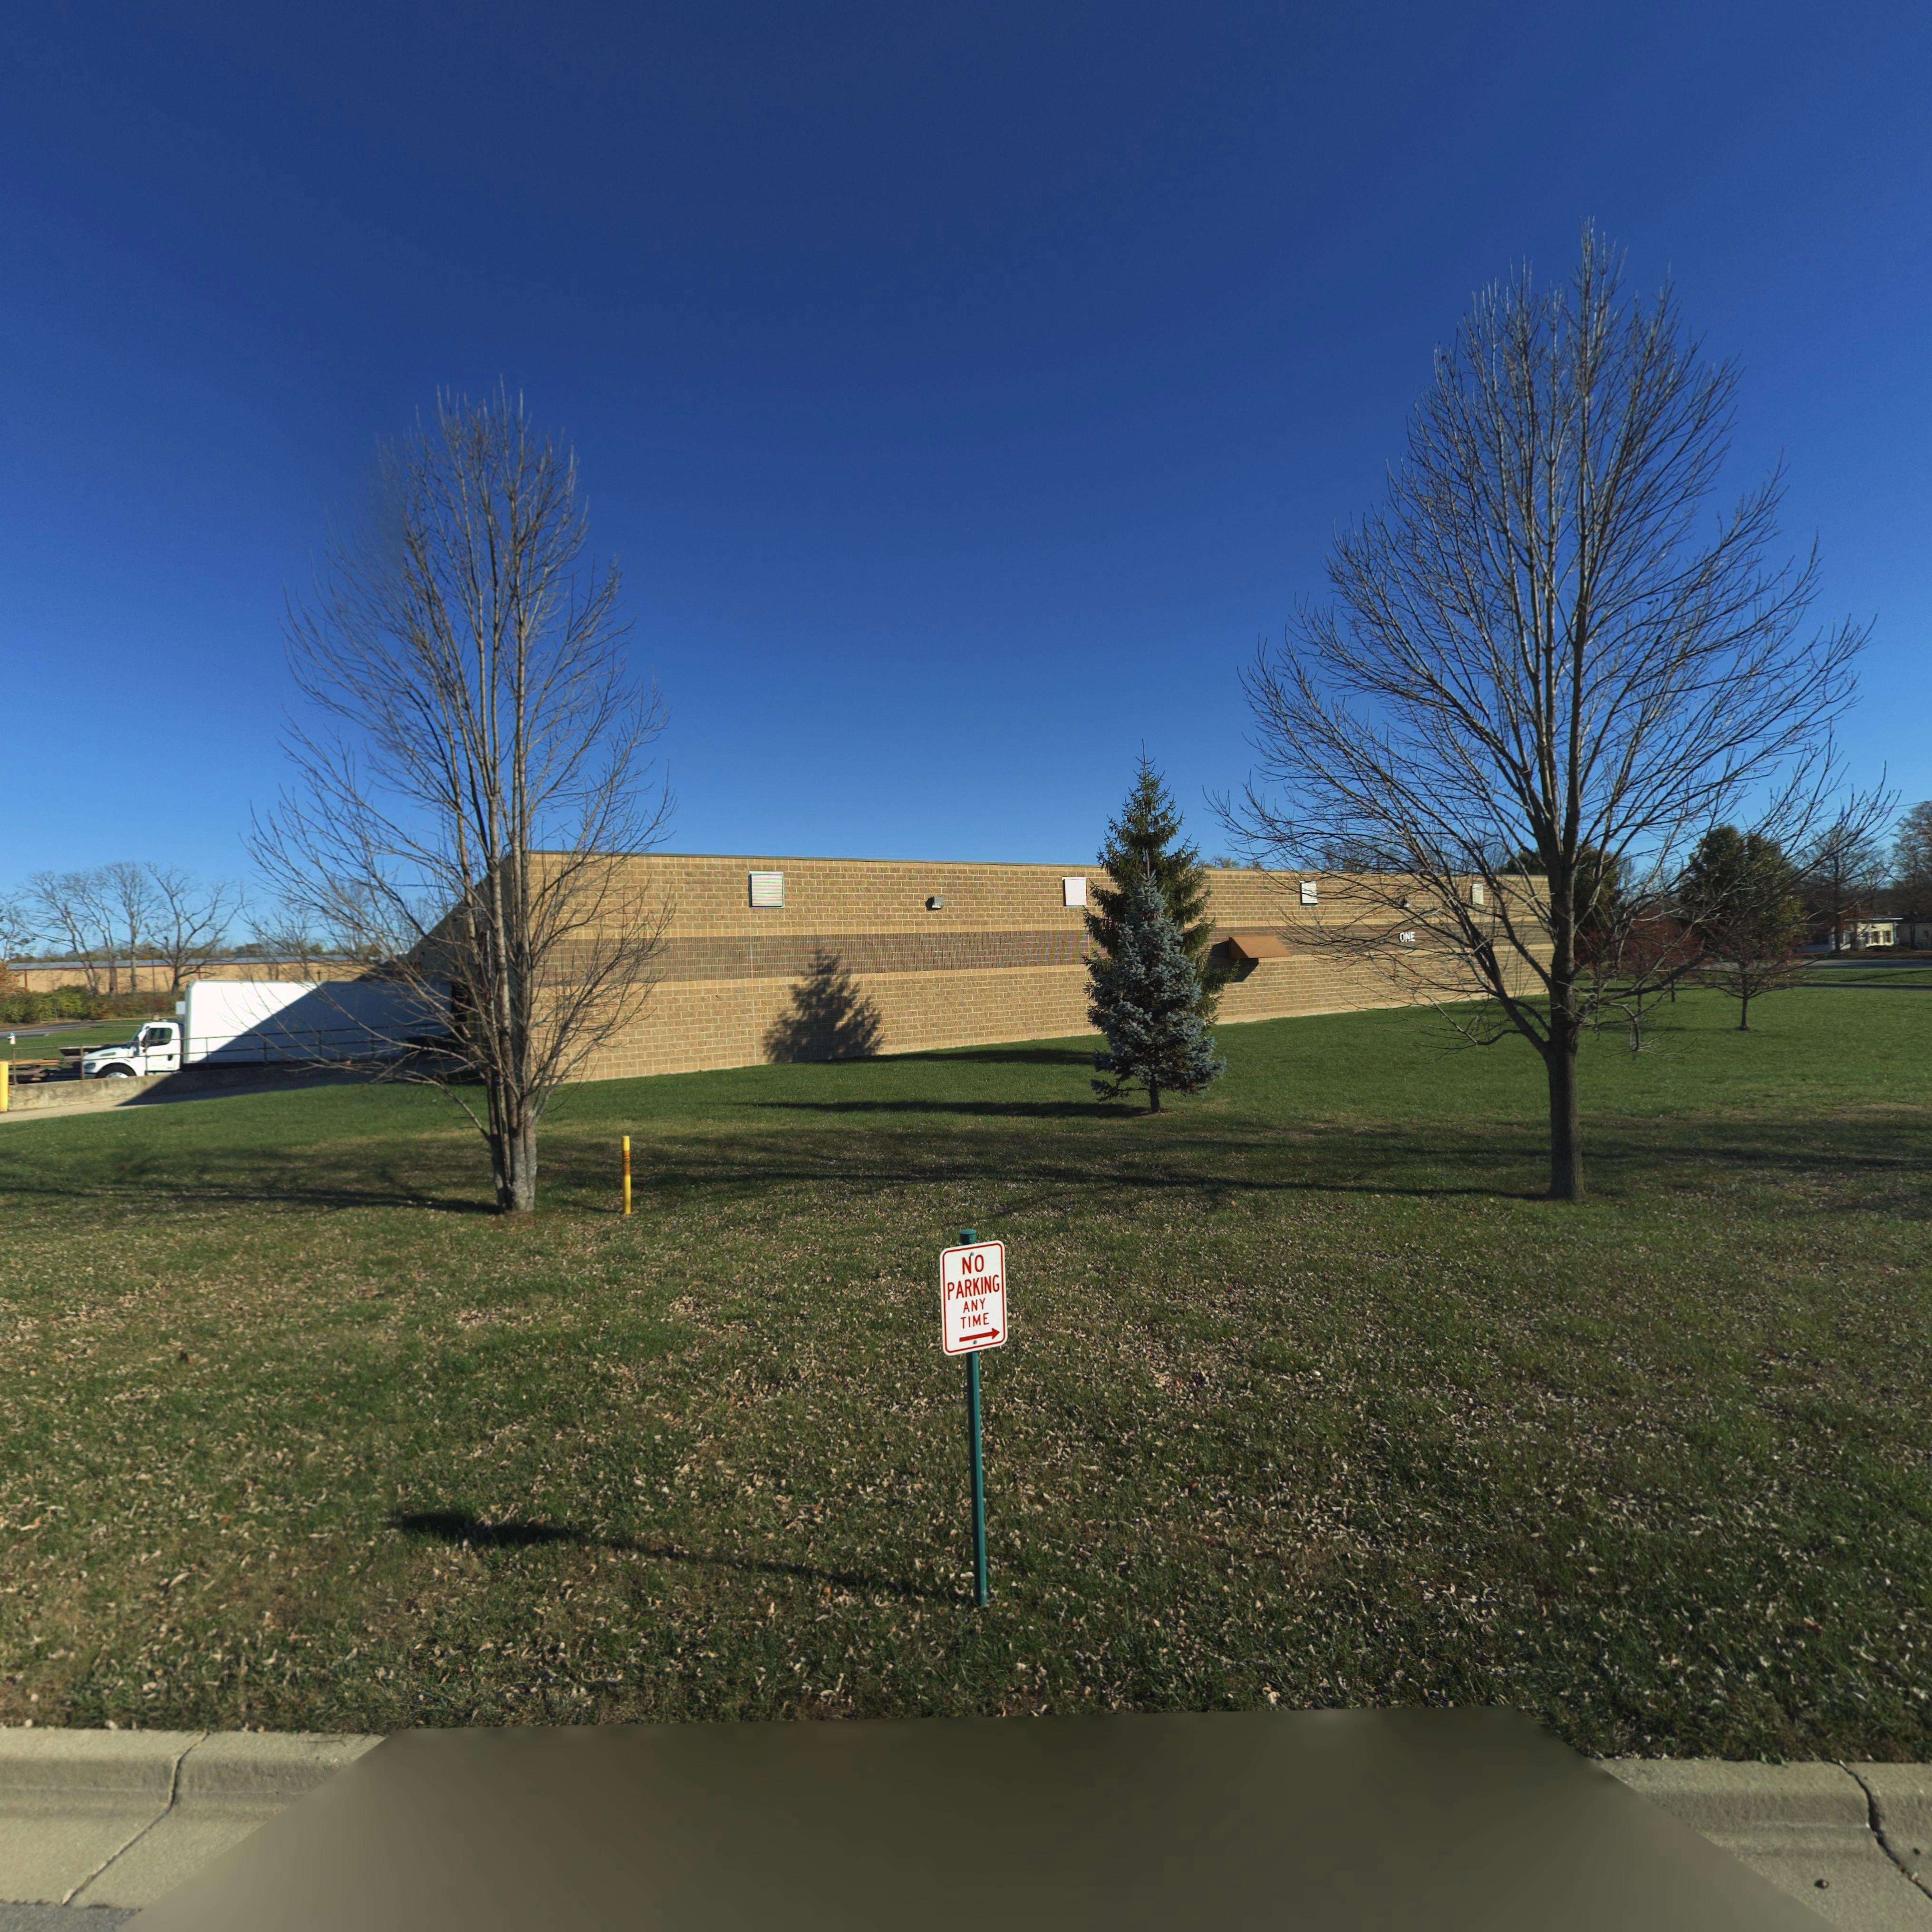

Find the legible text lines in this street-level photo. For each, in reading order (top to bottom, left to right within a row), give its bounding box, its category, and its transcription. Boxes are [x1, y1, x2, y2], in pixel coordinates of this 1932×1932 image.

[1399, 931, 1415, 943] StreetNumber: ONE